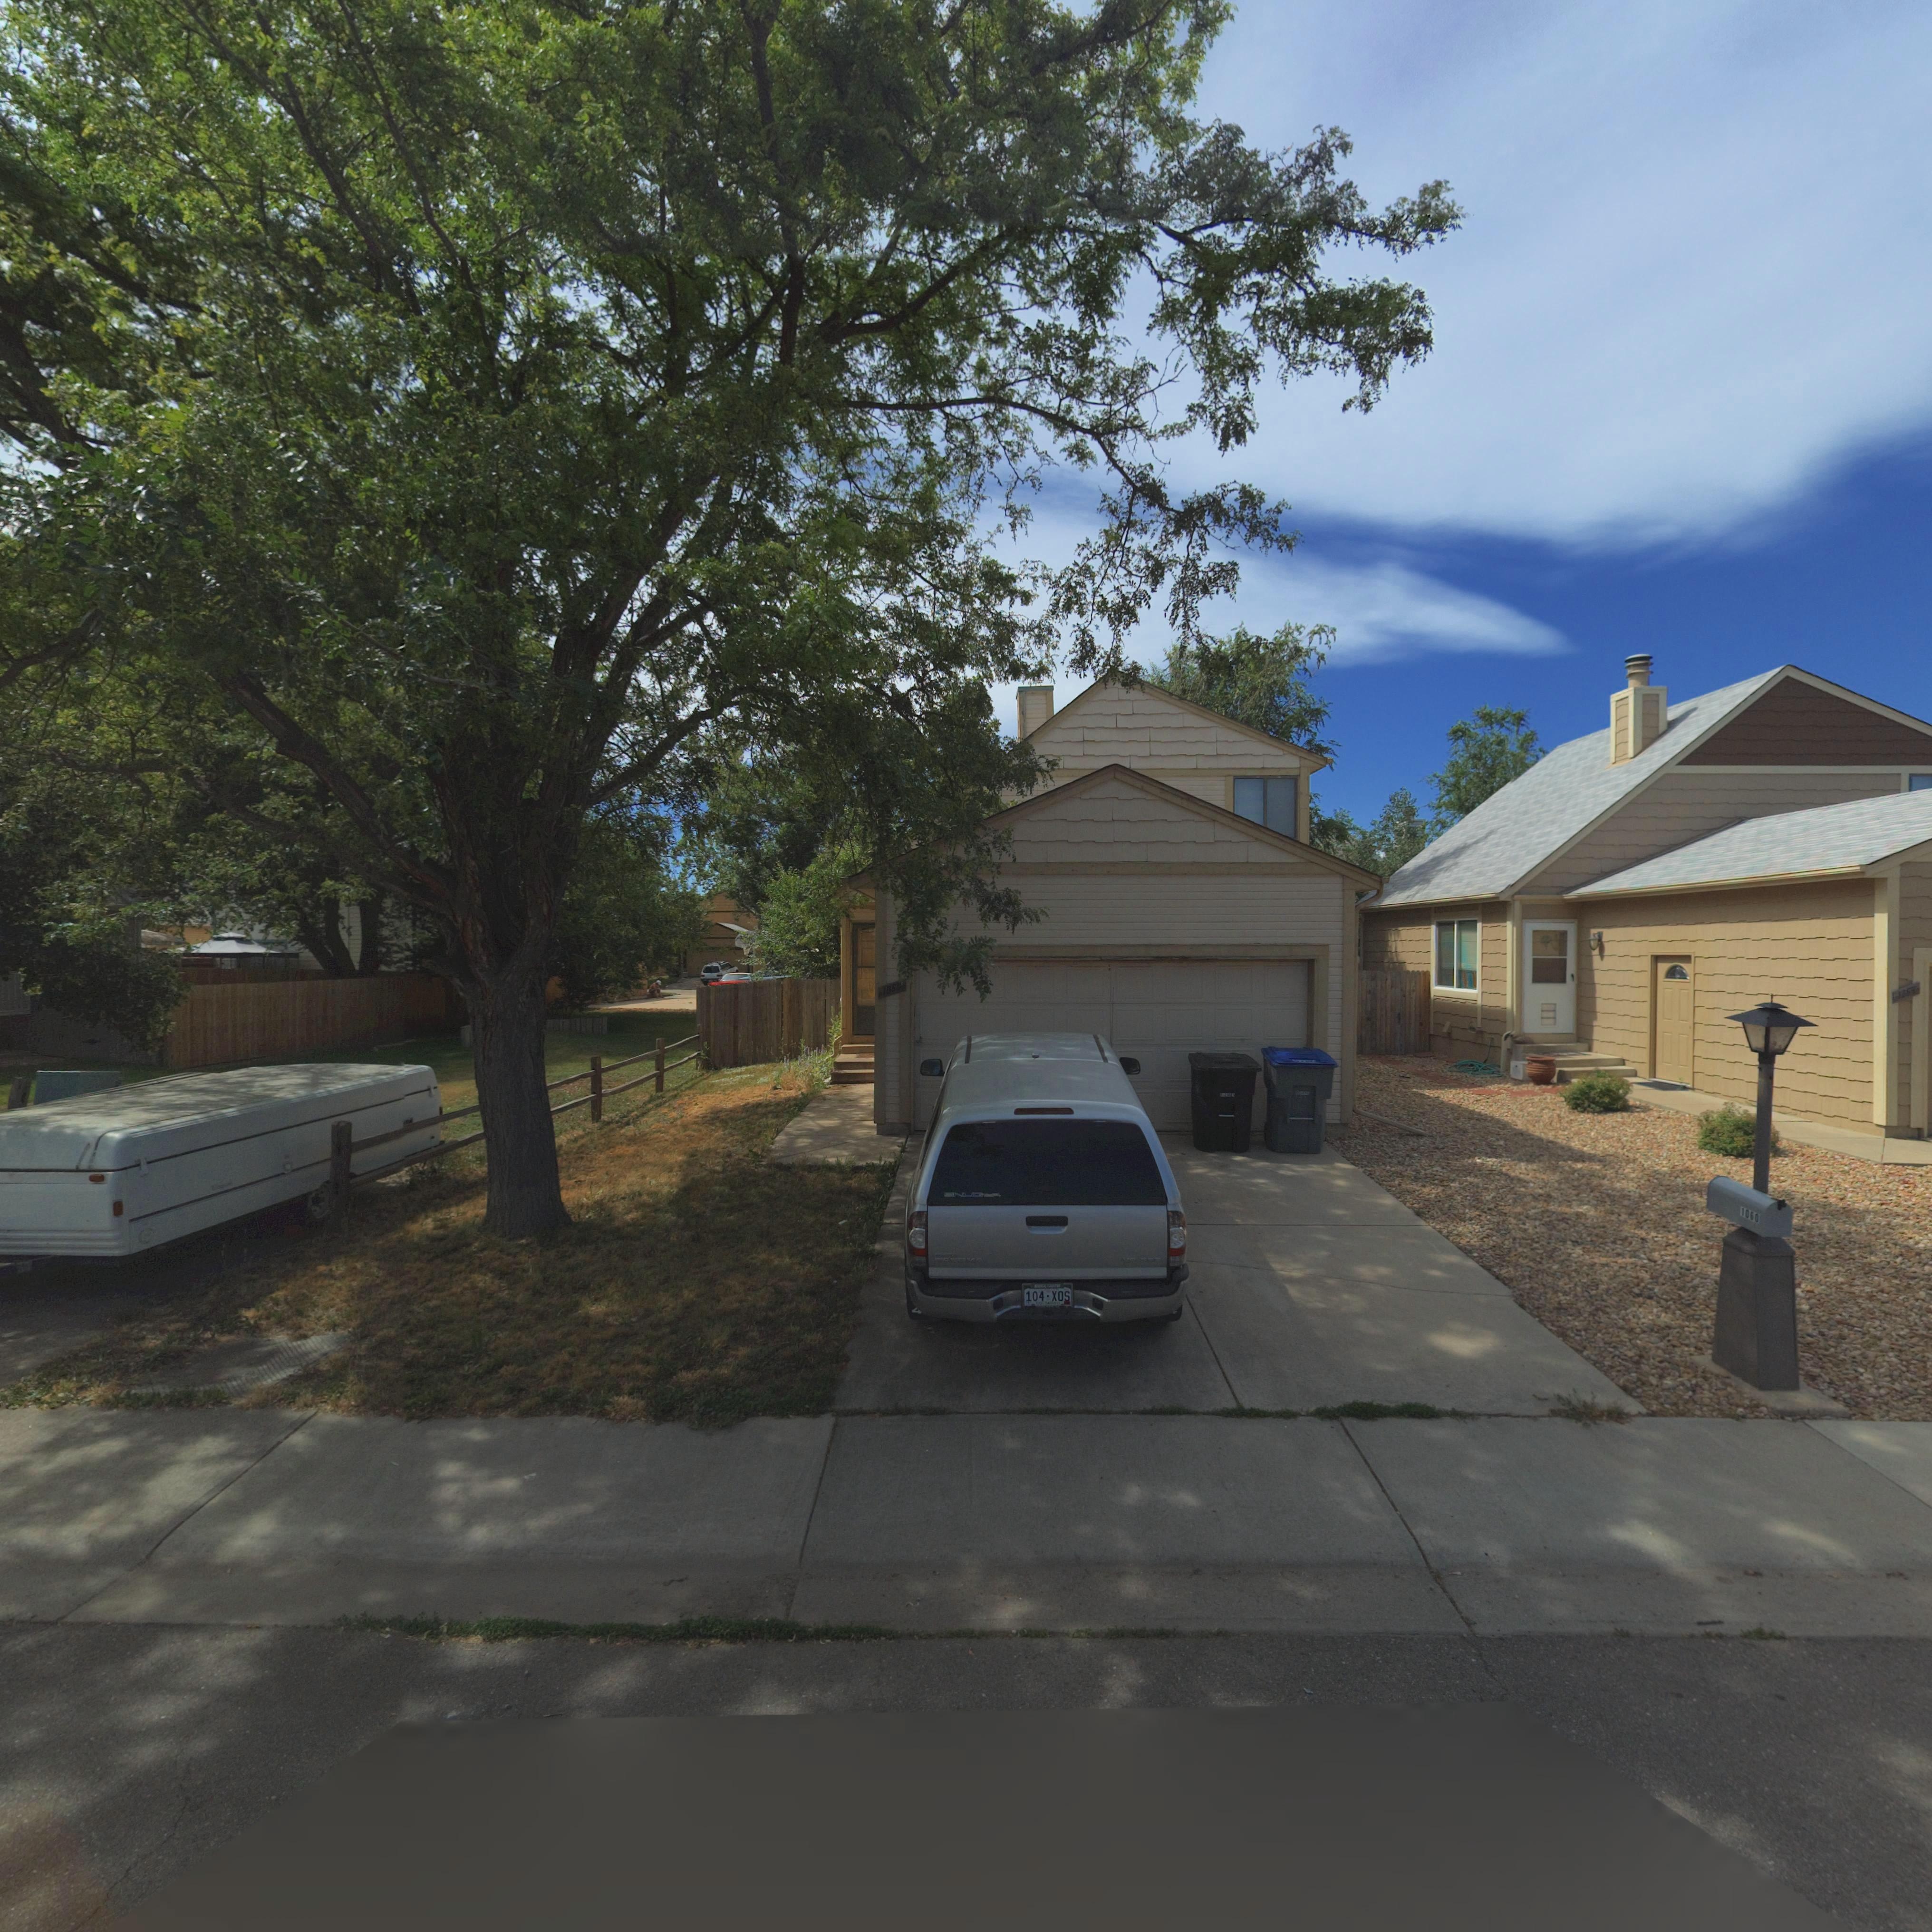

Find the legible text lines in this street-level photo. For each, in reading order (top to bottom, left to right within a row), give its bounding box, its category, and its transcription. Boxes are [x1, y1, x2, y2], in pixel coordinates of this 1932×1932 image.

[882, 981, 902, 996] StreetNumber: 10**
[1897, 985, 1916, 1000] StreetNumber: 1***
[1741, 1207, 1759, 1223] StreetNumber: 10*0